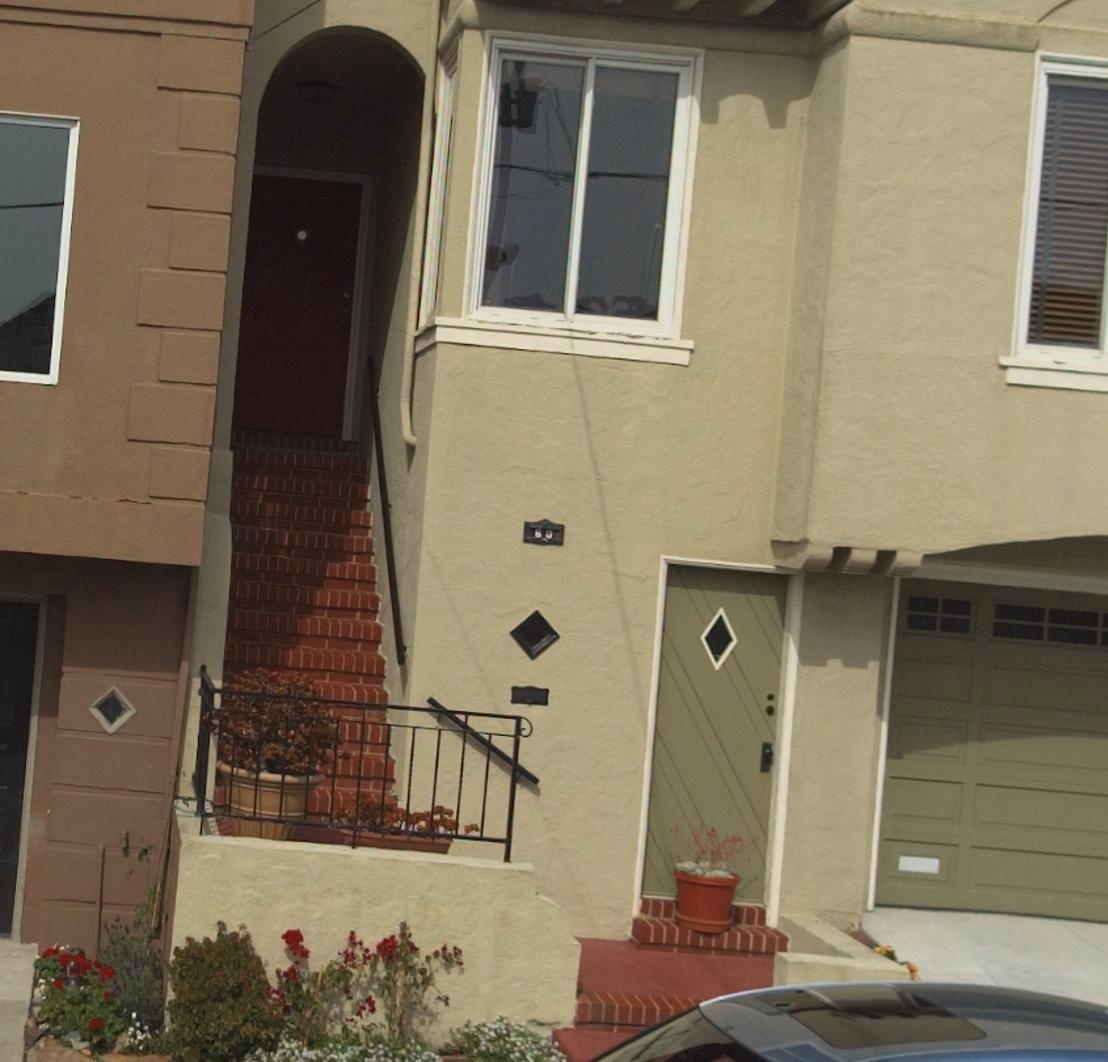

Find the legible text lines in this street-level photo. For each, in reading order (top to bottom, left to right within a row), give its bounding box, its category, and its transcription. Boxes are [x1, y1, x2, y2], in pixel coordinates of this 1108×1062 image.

[533, 528, 554, 540] StreetNumber: 60